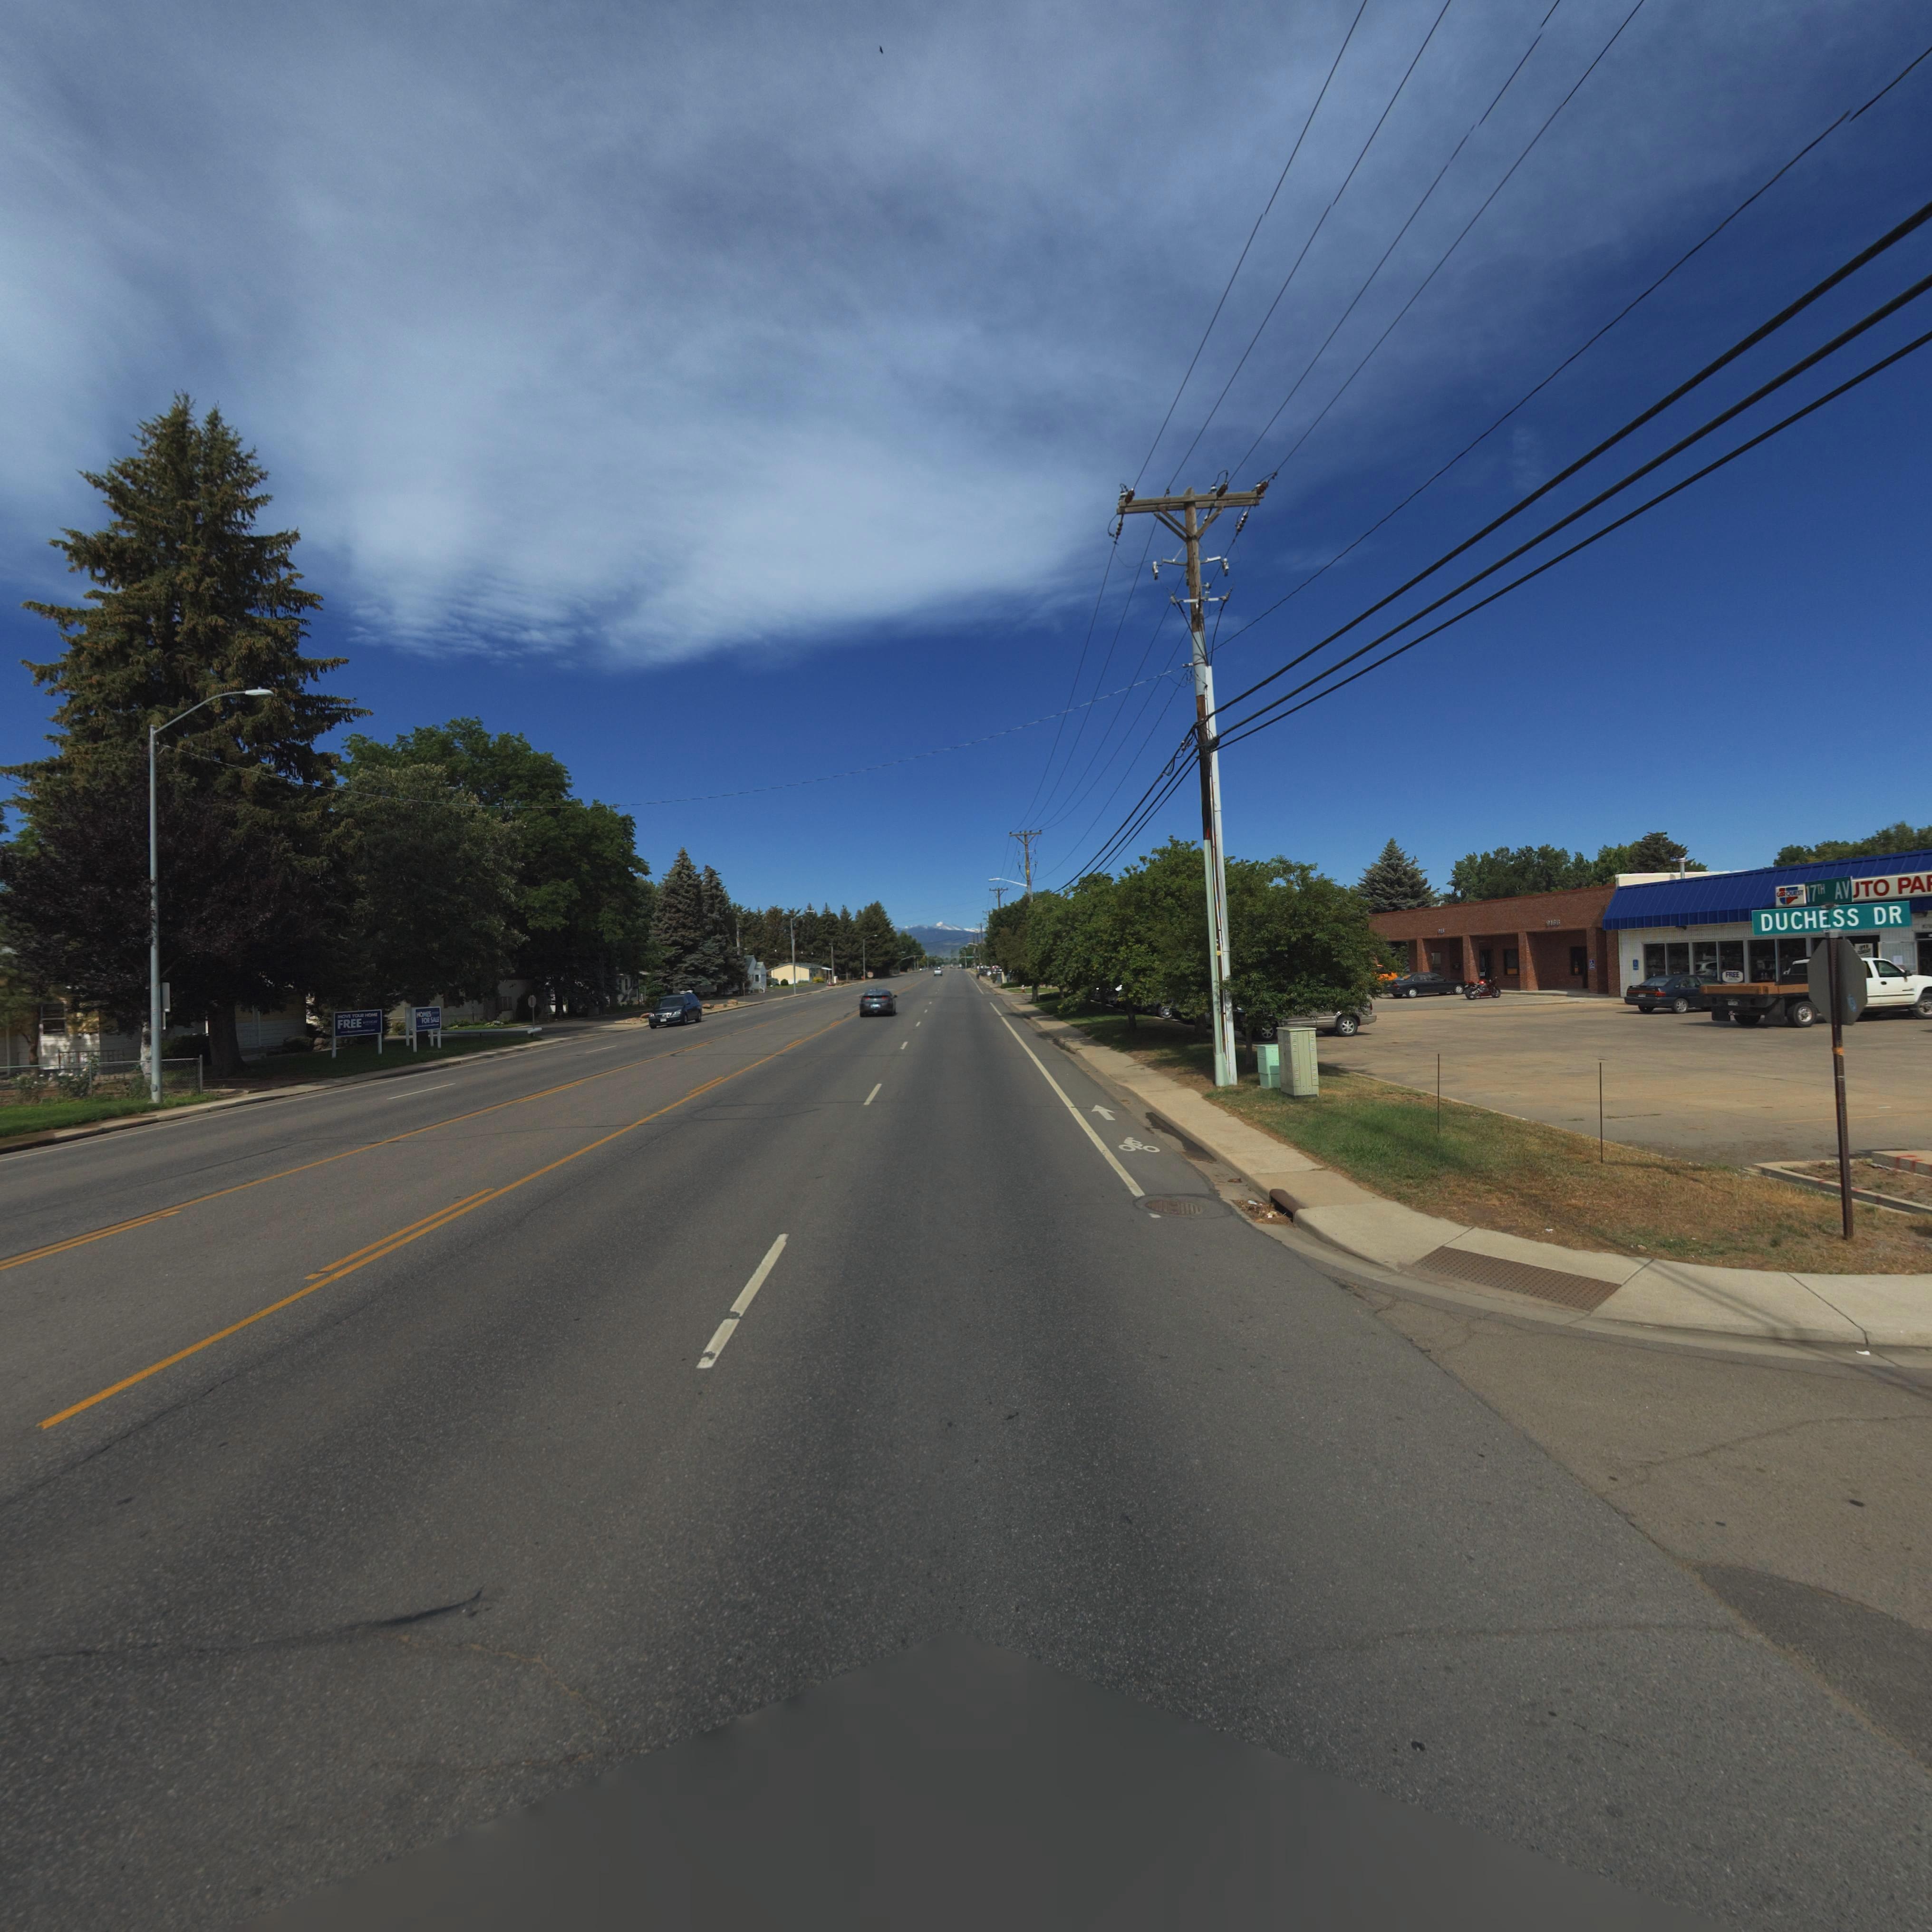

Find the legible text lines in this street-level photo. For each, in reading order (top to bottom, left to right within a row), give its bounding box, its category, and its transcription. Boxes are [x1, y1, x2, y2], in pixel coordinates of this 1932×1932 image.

[1776, 889, 1804, 897] BusinessName: C** QU*ST
[1806, 879, 1850, 902] StreetName: 17TH AV
[1852, 874, 1931, 898] BusinessName: *TO PA*
[1546, 919, 1560, 926] StreetNumber: 91**
[1760, 905, 1903, 932] StreetName: DUCHESS DR